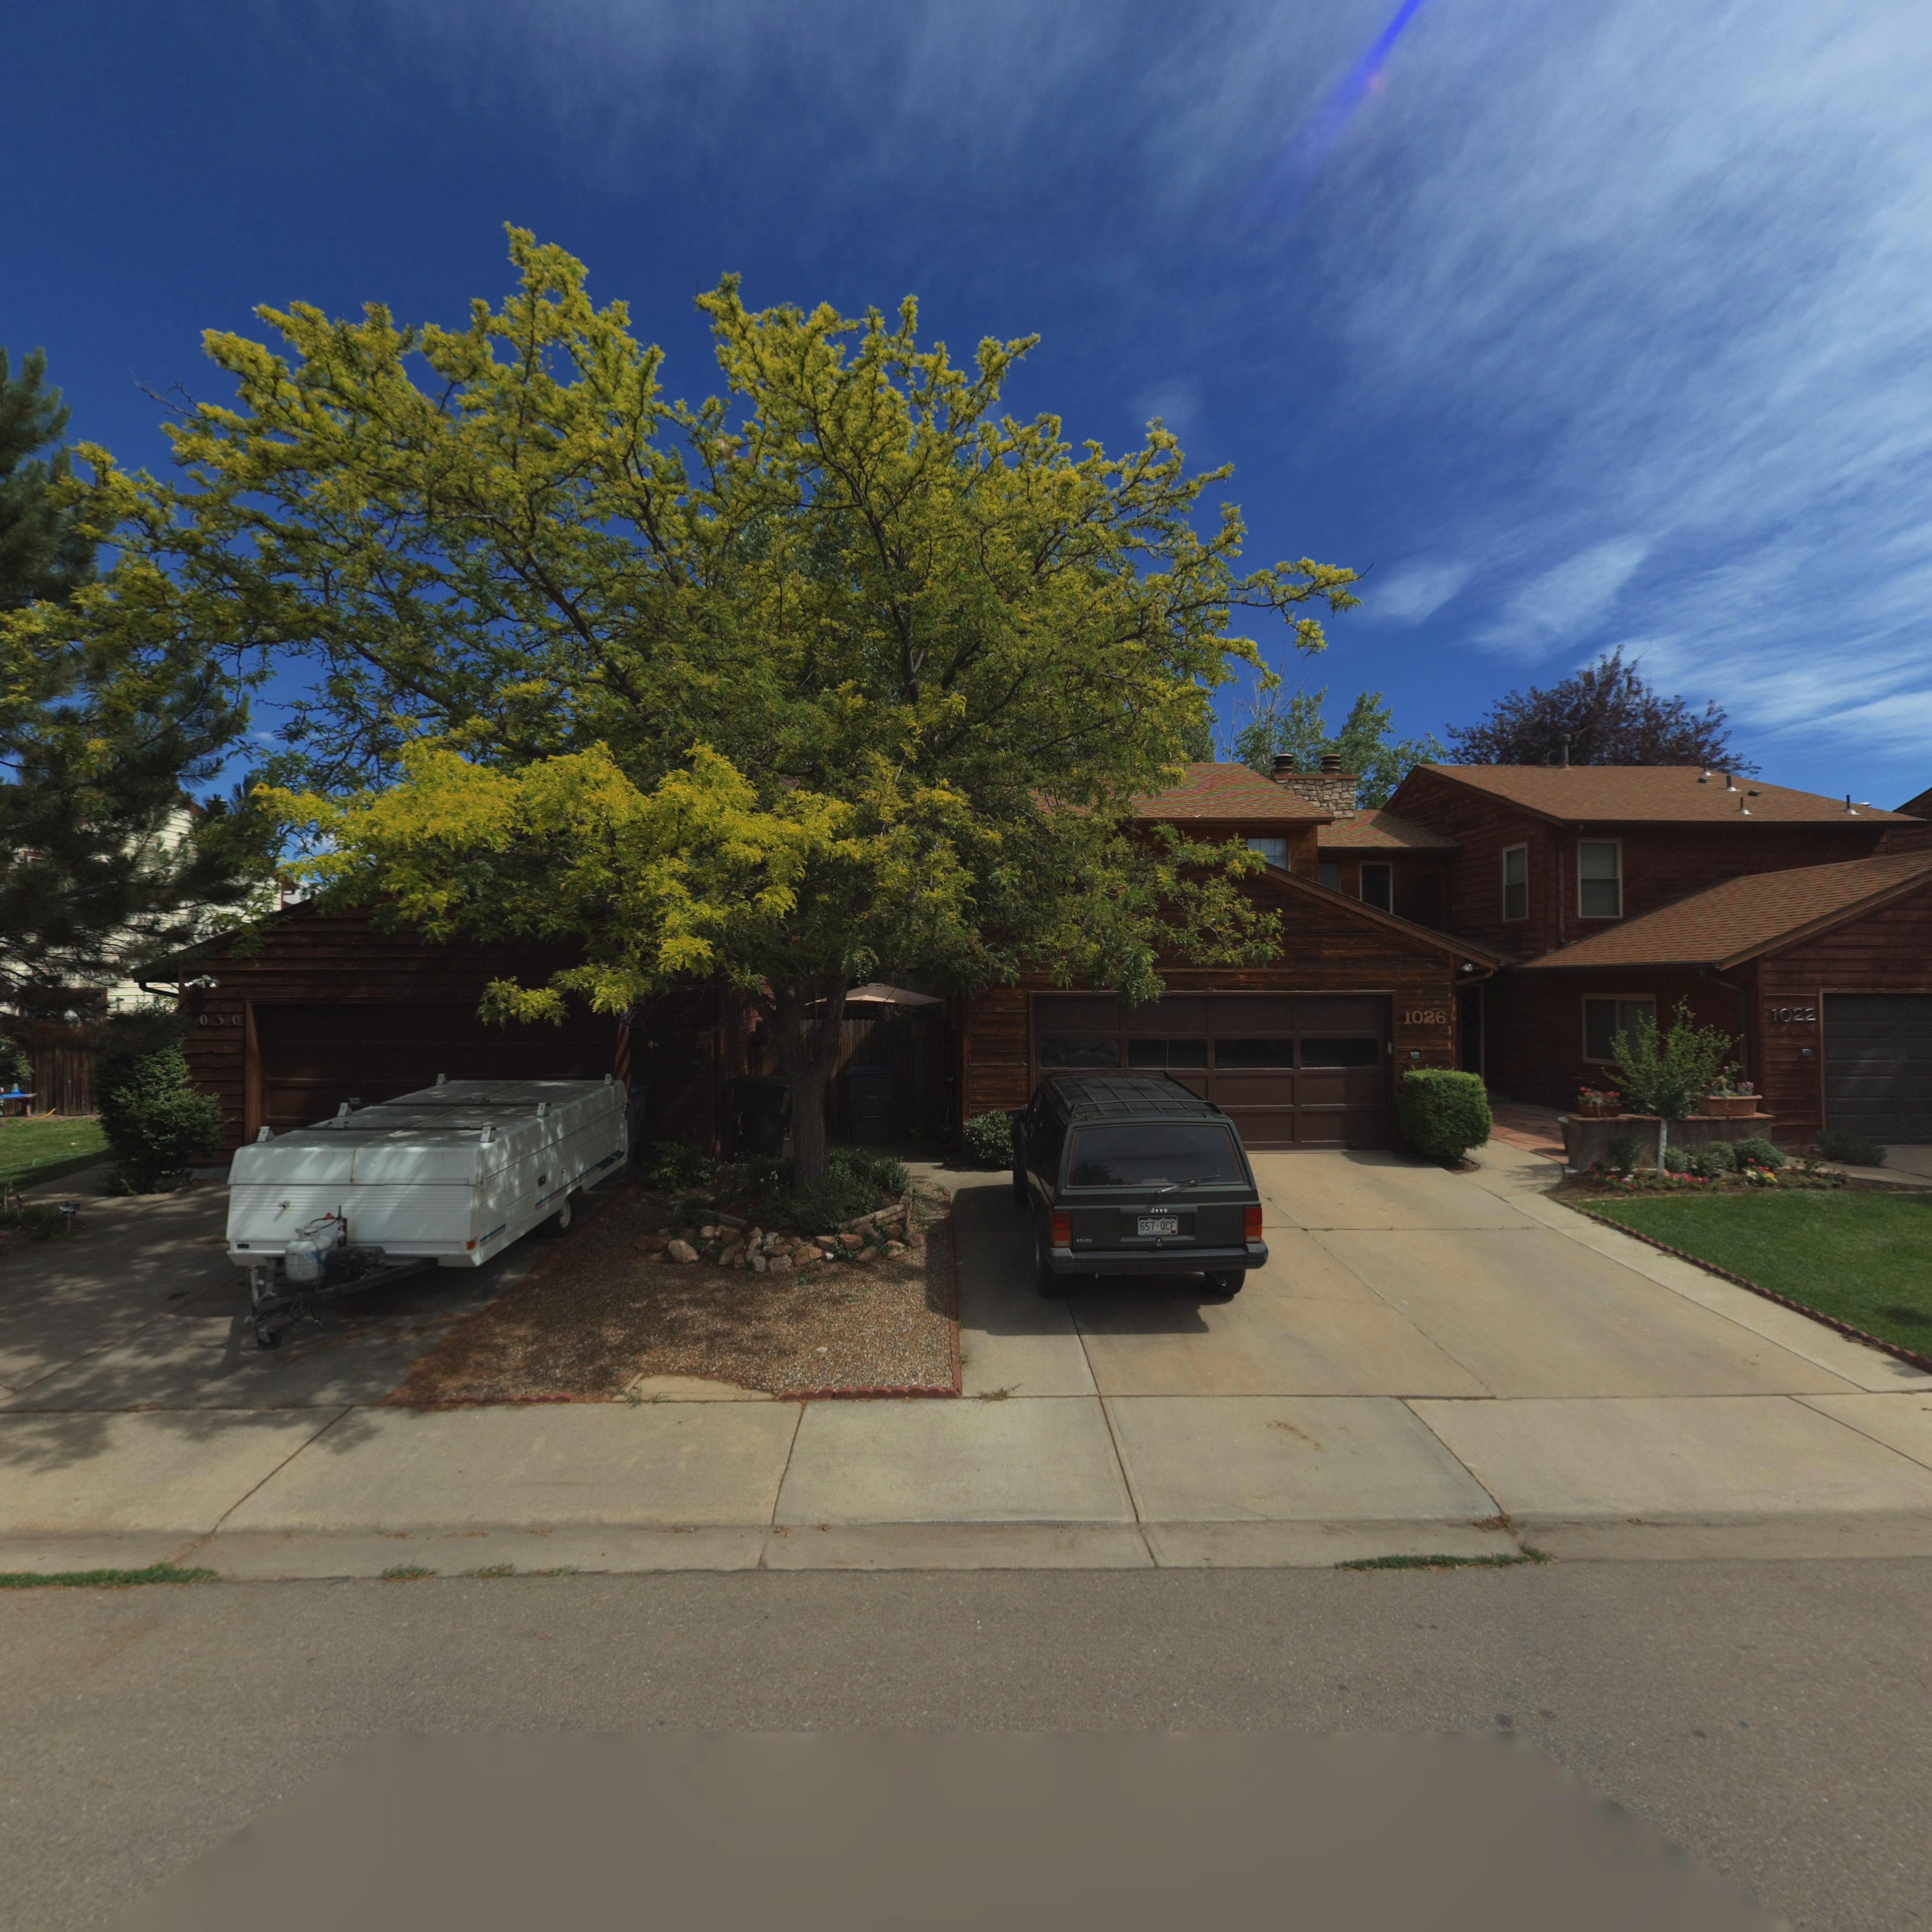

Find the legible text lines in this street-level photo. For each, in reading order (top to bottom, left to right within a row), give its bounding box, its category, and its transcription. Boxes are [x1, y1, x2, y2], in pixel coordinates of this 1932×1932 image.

[199, 1014, 239, 1025] StreetNumber: *030
[1403, 1010, 1447, 1024] StreetNumber: 1026
[1771, 1008, 1816, 1023] StreetNumber: 1022